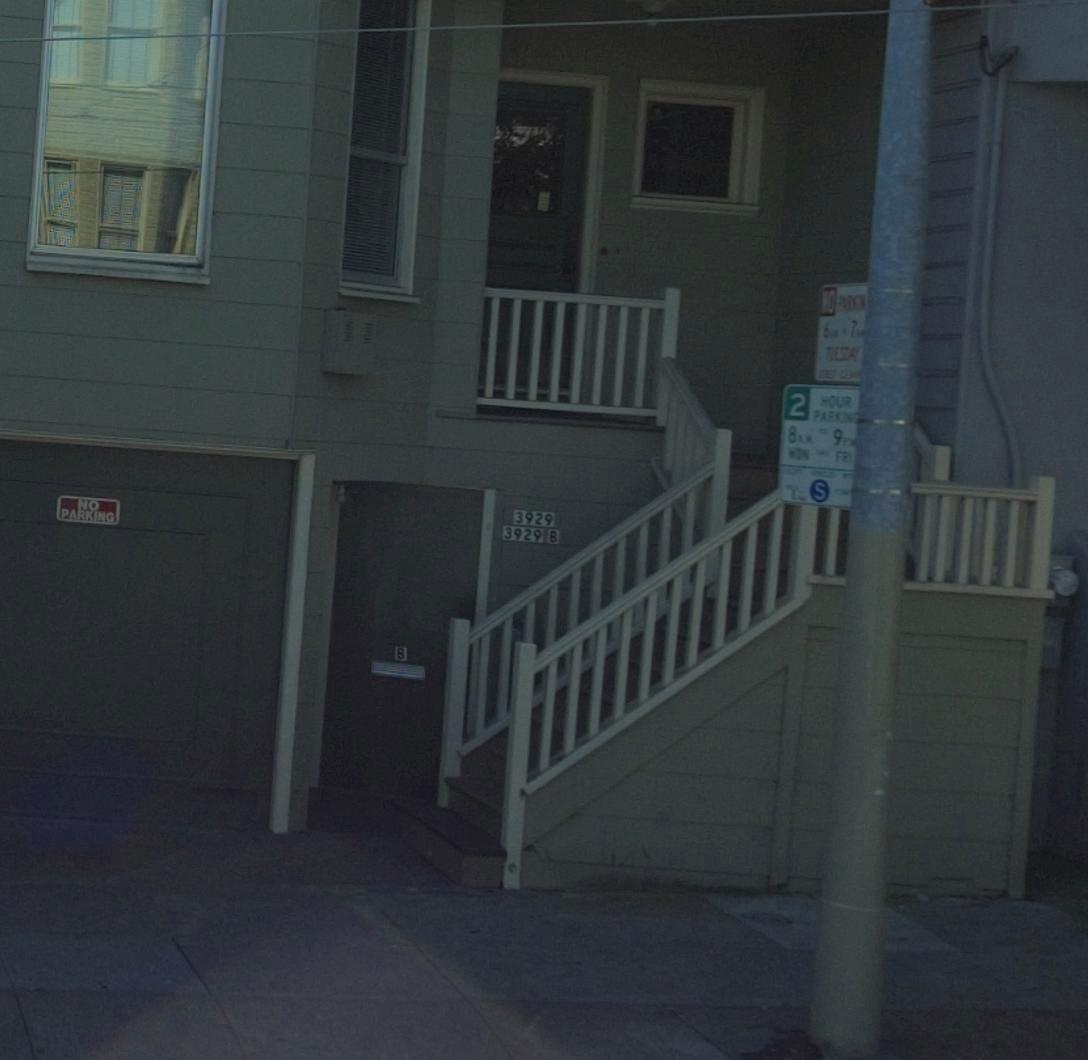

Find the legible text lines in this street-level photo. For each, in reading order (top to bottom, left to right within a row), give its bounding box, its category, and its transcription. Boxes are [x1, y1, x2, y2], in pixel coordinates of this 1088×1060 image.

[819, 288, 836, 315] None: NO
[837, 294, 869, 313] None: PARLKIN*
[820, 321, 840, 340] None: 6AM
[849, 319, 861, 337] None: 7
[824, 344, 861, 363] None: TUESDAY
[787, 390, 809, 419] None: 2
[819, 394, 853, 408] None: HOUR
[812, 408, 860, 426] None: PARKING
[787, 424, 815, 446] None: 8AM
[818, 427, 831, 436] None: TO
[832, 427, 858, 450] None: 9PM
[786, 447, 812, 463] None: MON
[814, 449, 832, 457] None: THRU
[835, 450, 857, 464] None: FRI
[813, 481, 828, 502] None: S
[76, 498, 100, 511] None: NO
[61, 507, 116, 524] None: PARKING
[514, 510, 554, 527] StreetNumber: 3929
[501, 526, 543, 543] StreetNumber: 3929
[548, 529, 559, 544] StreetNumber: B
[394, 646, 406, 661] StreetNumber: B